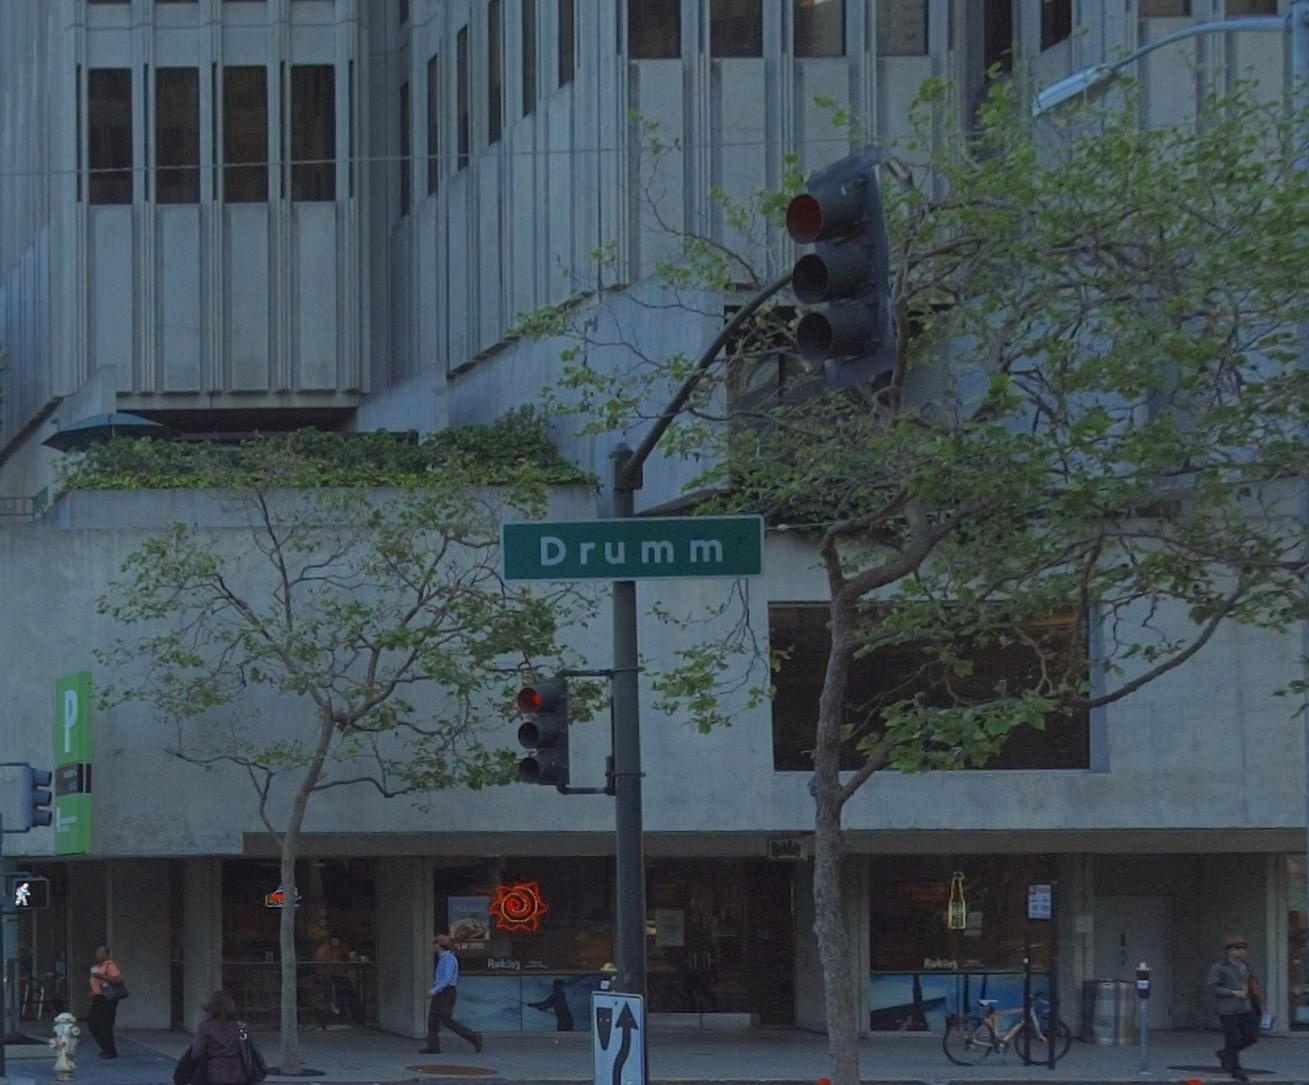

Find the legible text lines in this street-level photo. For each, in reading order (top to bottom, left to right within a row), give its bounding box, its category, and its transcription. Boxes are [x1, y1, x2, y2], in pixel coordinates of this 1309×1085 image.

[538, 534, 725, 568] StreetName: Drumm
[63, 687, 81, 755] None: P
[485, 956, 497, 970] None: R